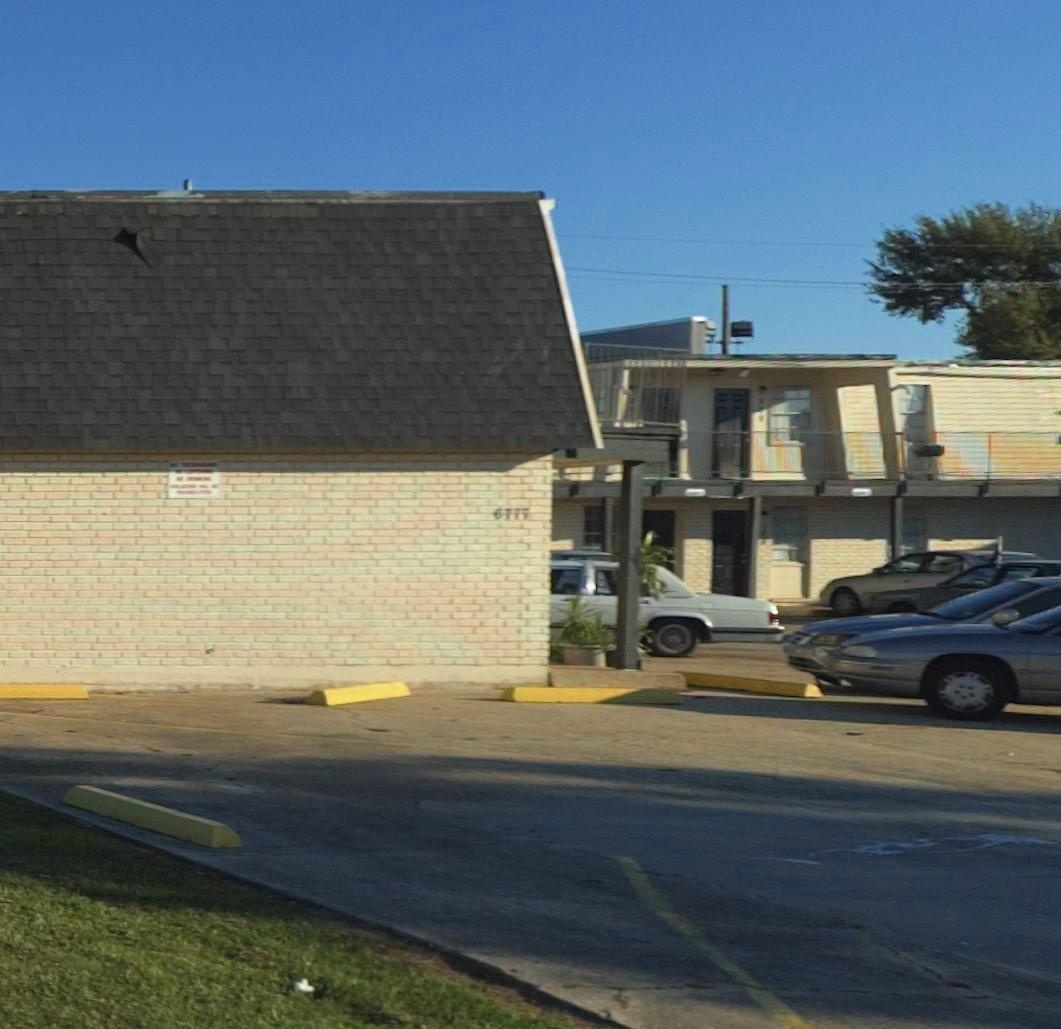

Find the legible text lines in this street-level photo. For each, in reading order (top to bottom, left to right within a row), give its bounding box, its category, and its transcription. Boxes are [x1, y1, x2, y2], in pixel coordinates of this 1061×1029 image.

[490, 504, 533, 523] StreetNumber: 6***